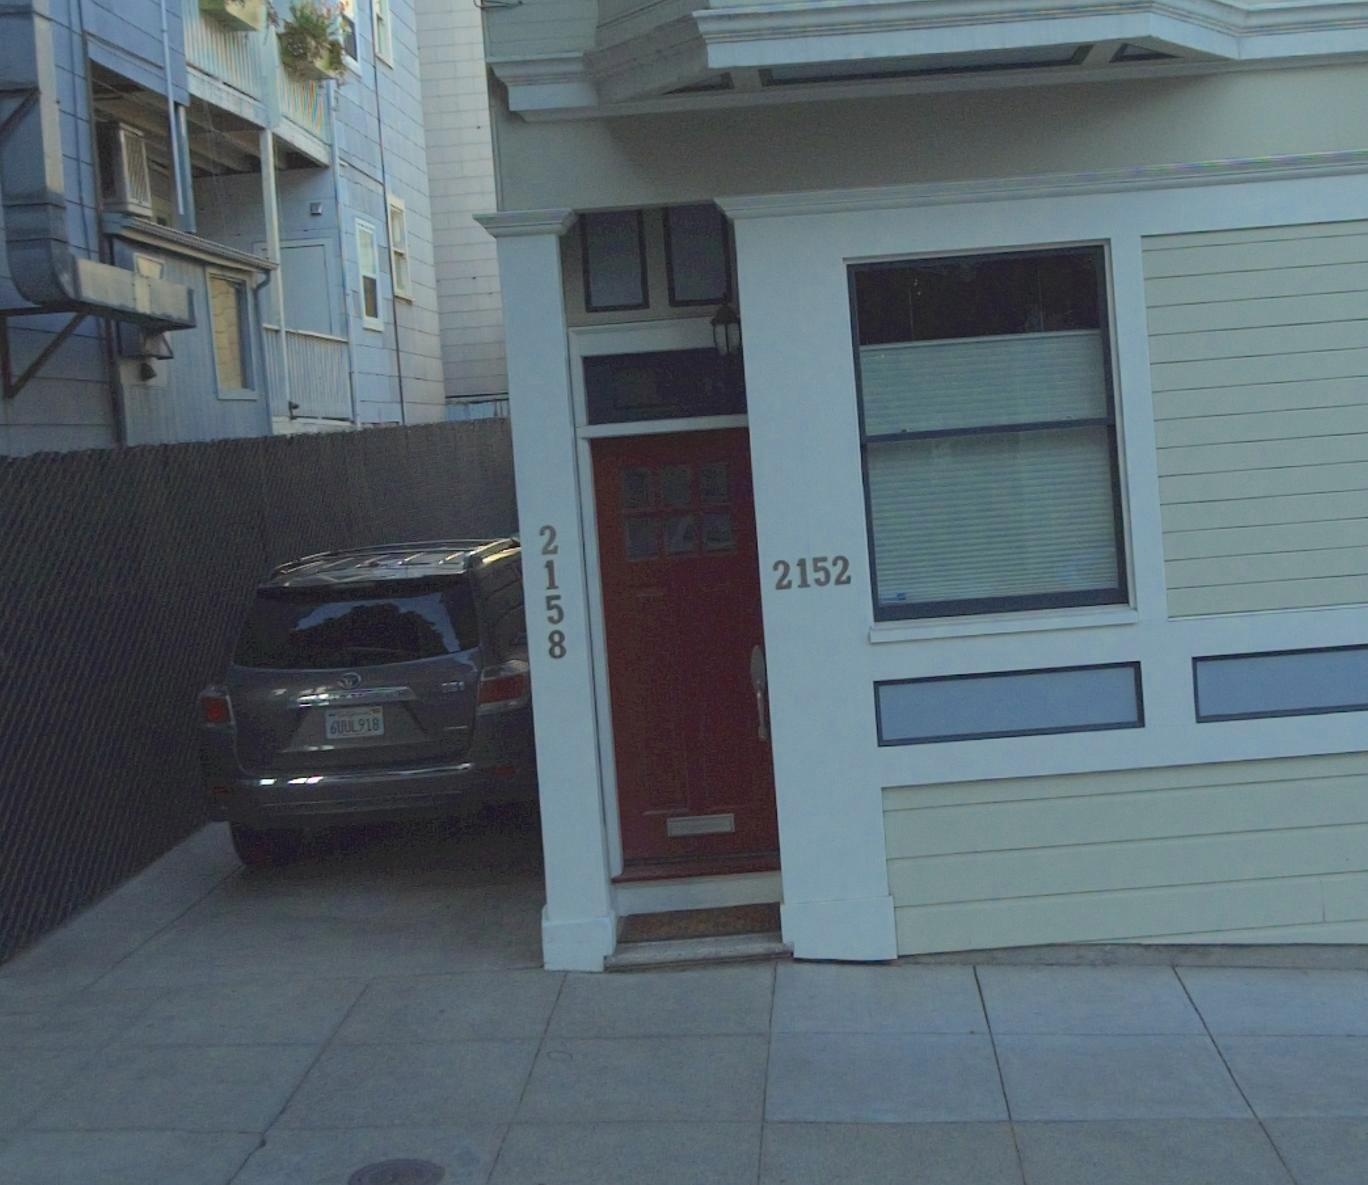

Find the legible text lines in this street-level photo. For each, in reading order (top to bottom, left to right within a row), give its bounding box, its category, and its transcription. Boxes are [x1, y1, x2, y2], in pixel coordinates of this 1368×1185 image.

[535, 521, 570, 662] StreetNumber: 2158
[771, 551, 853, 592] StreetNumber: 2152
[328, 714, 381, 737] None: 6UUL918